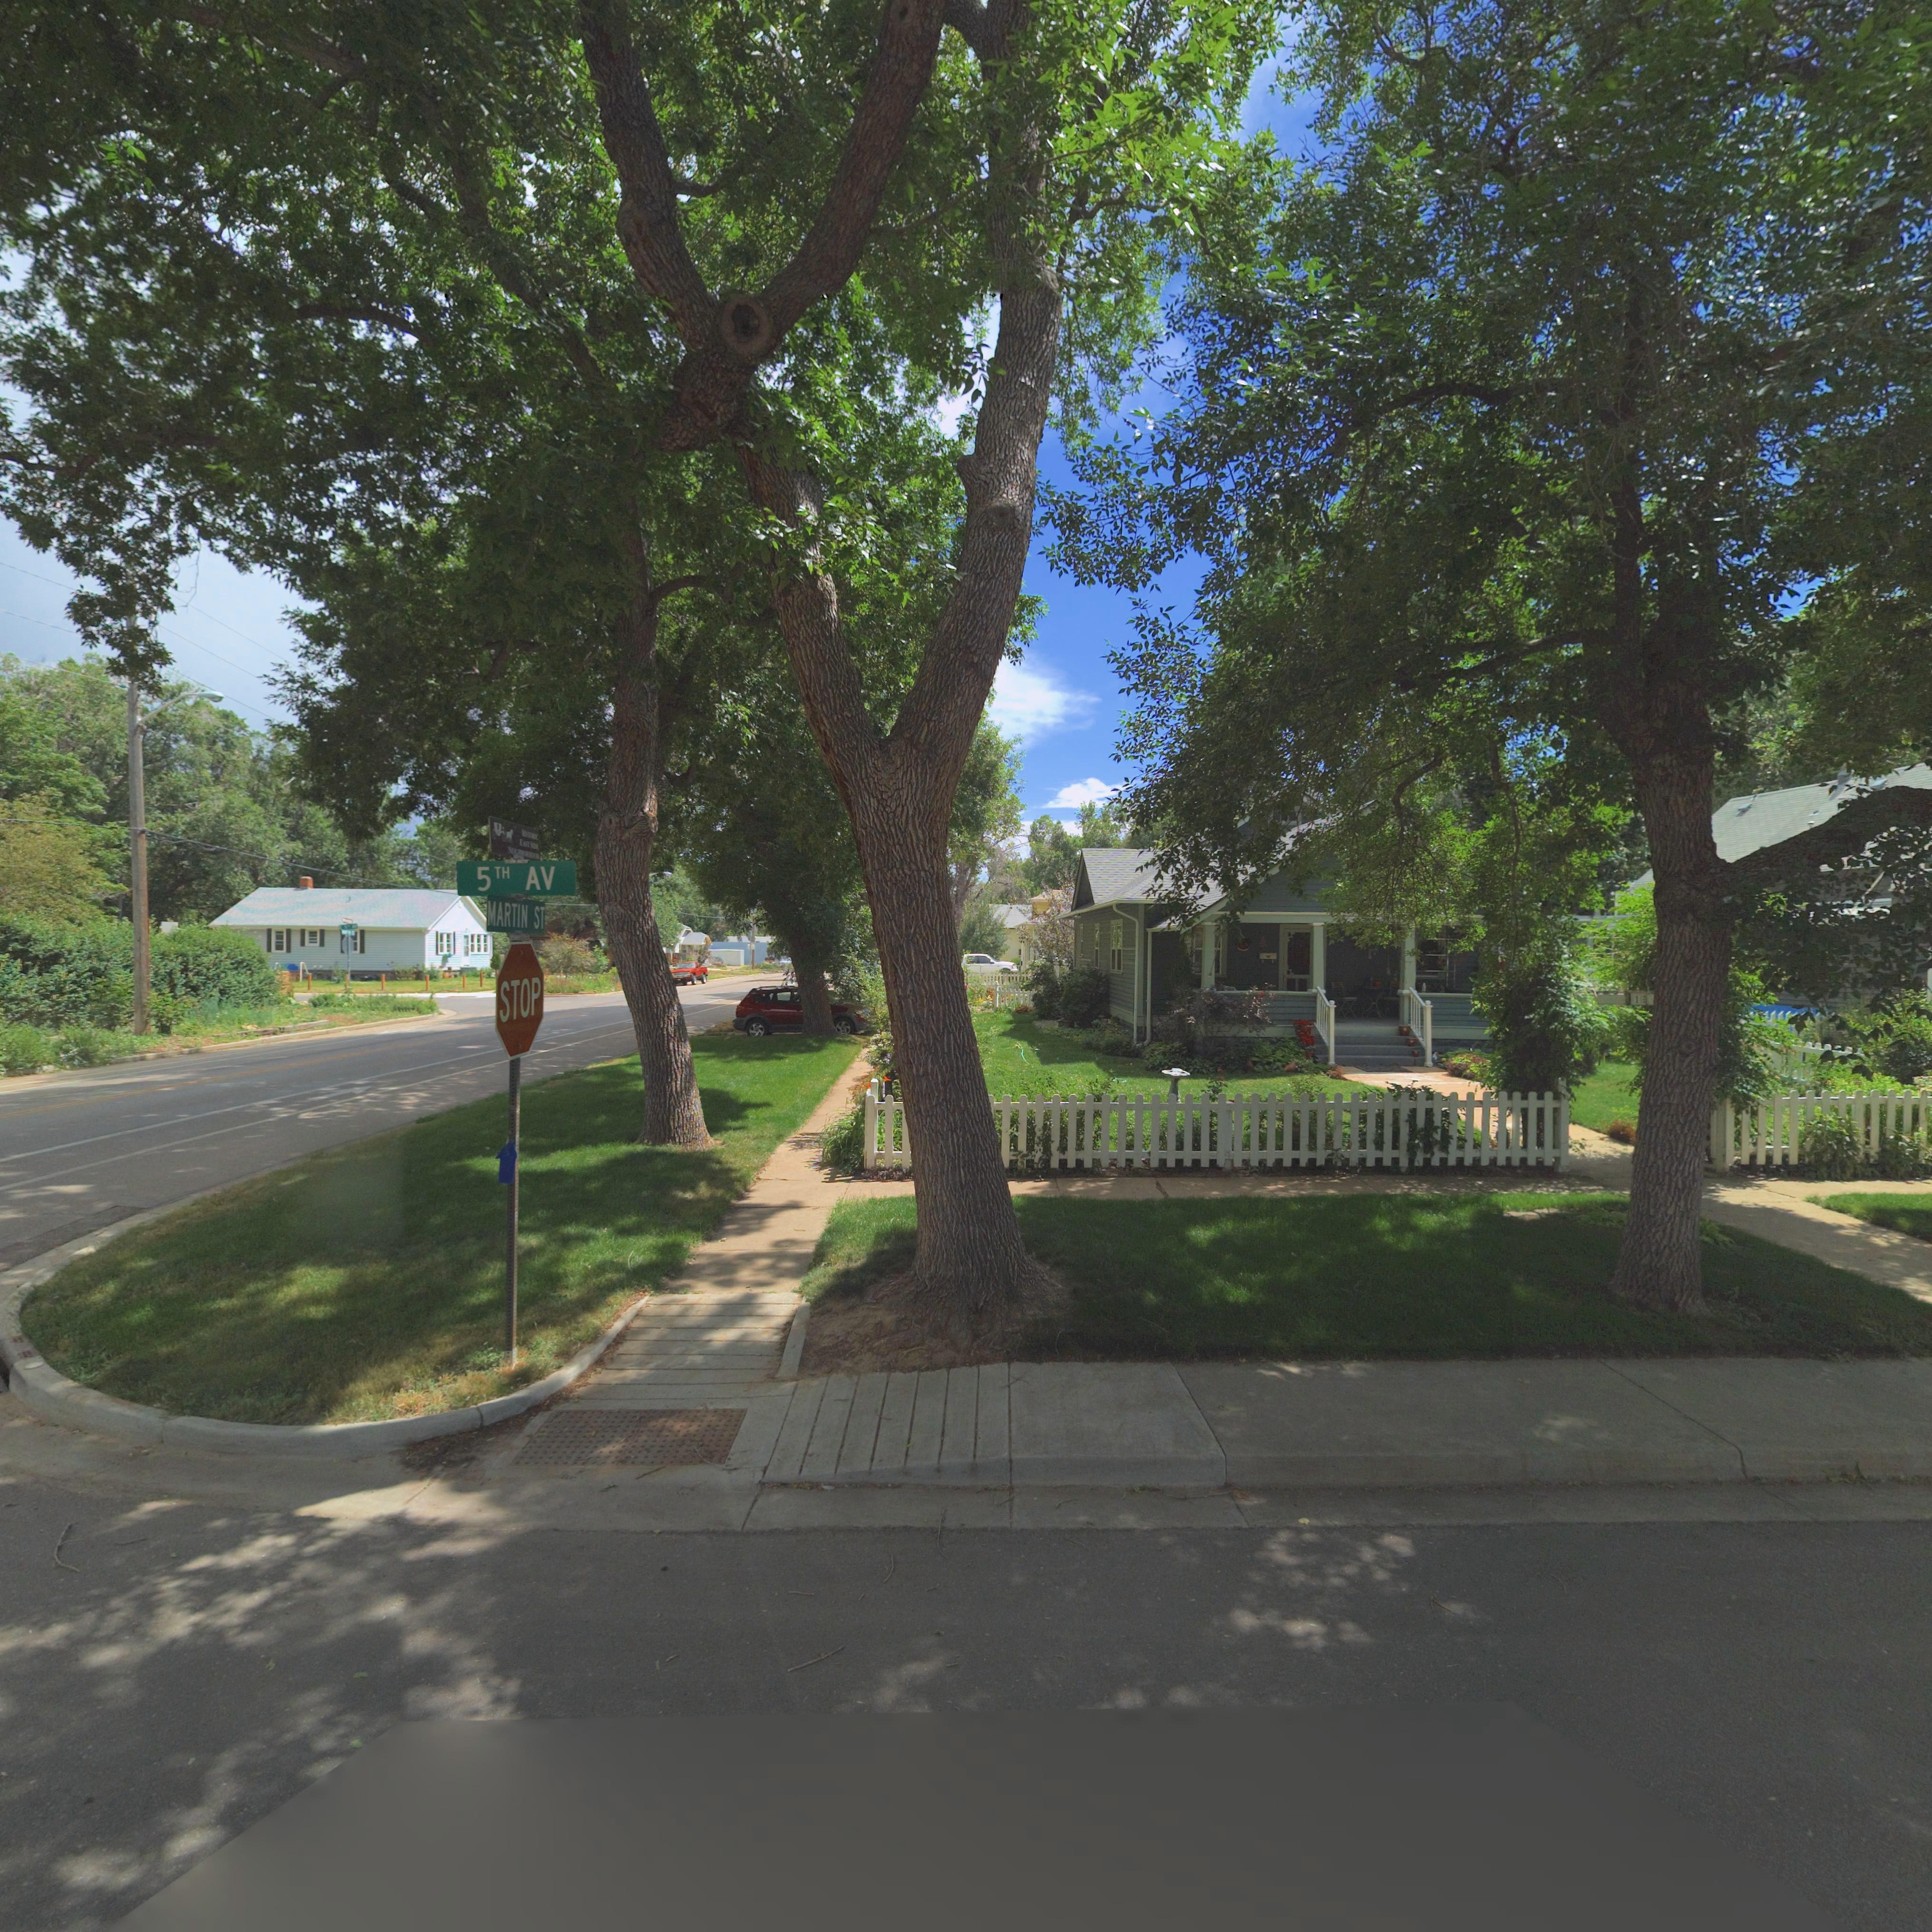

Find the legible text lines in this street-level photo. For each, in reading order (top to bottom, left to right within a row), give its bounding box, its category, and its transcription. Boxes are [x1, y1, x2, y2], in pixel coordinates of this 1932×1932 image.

[477, 866, 554, 891] StreetName: 5TH AV
[344, 924, 357, 929] StreetName: 5** A*
[487, 900, 545, 928] StreetName: MARTIN ST
[1634, 995, 1647, 1004] StreetNumber: 1*